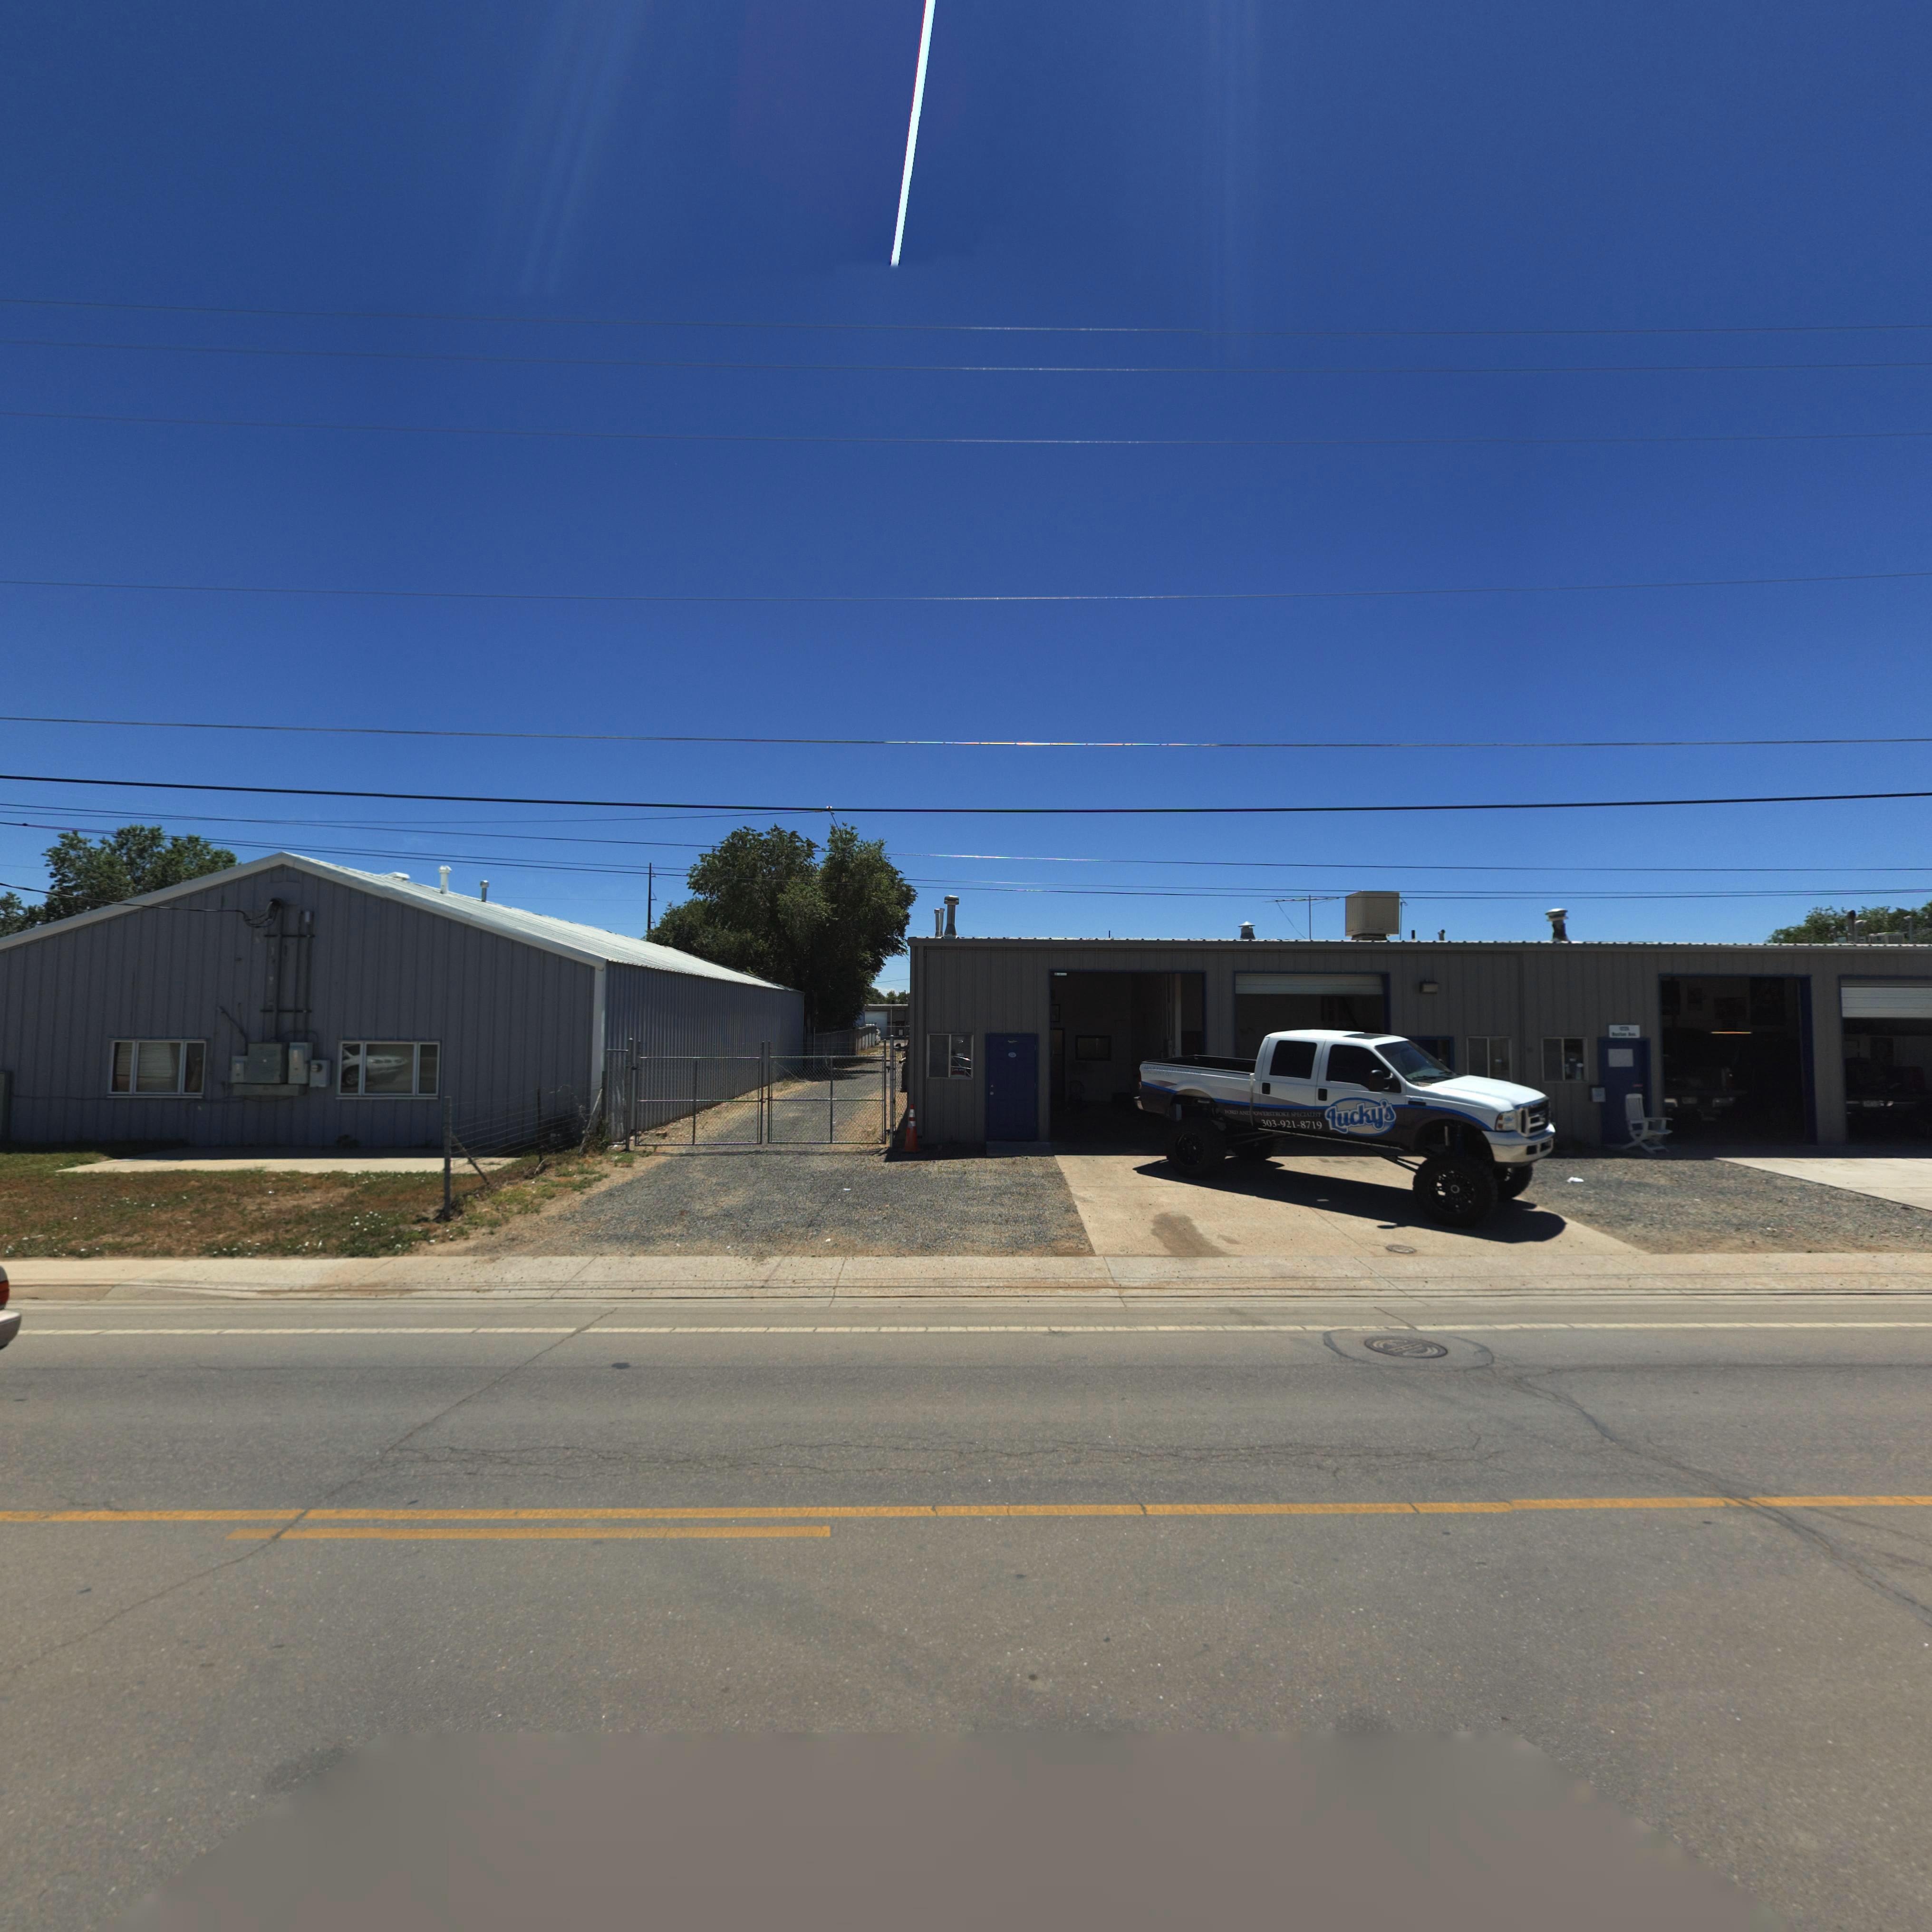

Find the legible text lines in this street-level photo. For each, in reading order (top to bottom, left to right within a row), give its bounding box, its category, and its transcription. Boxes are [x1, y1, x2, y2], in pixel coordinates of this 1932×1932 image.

[1619, 1026, 1629, 1031] StreetNumber: 1*25
[1611, 1032, 1635, 1036] StreetName: Boston Av*